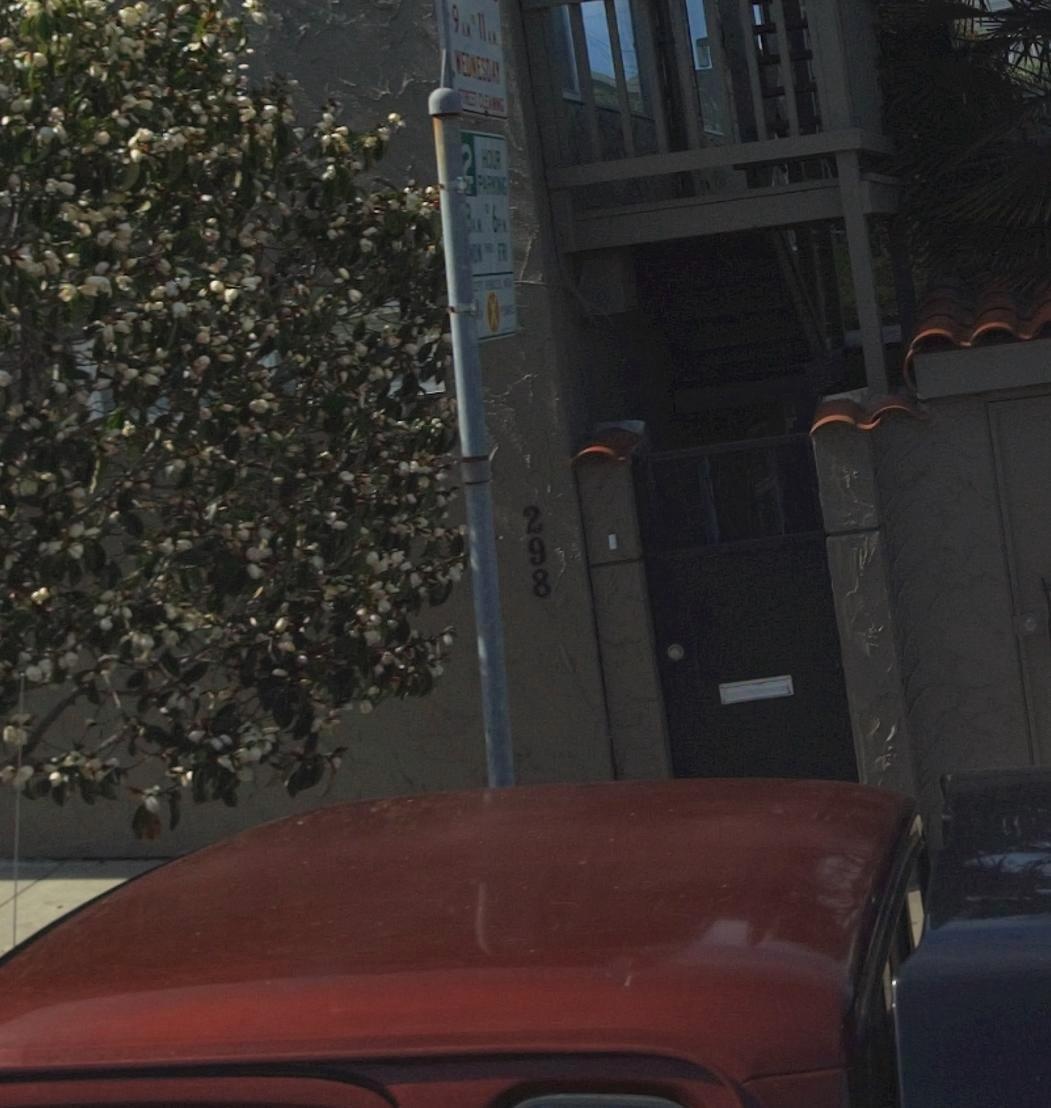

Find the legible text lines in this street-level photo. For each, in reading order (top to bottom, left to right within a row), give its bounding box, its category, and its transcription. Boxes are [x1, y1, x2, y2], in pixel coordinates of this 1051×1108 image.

[451, 0, 461, 35] None: 9
[475, 9, 488, 43] None: 11
[452, 47, 501, 86] None: WDEDNESDAY
[479, 146, 504, 173] None: HOUR
[476, 172, 509, 198] None: PARKING
[489, 203, 501, 234] None: 6
[487, 295, 501, 330] None: X
[519, 502, 554, 602] StreetNumber: 298